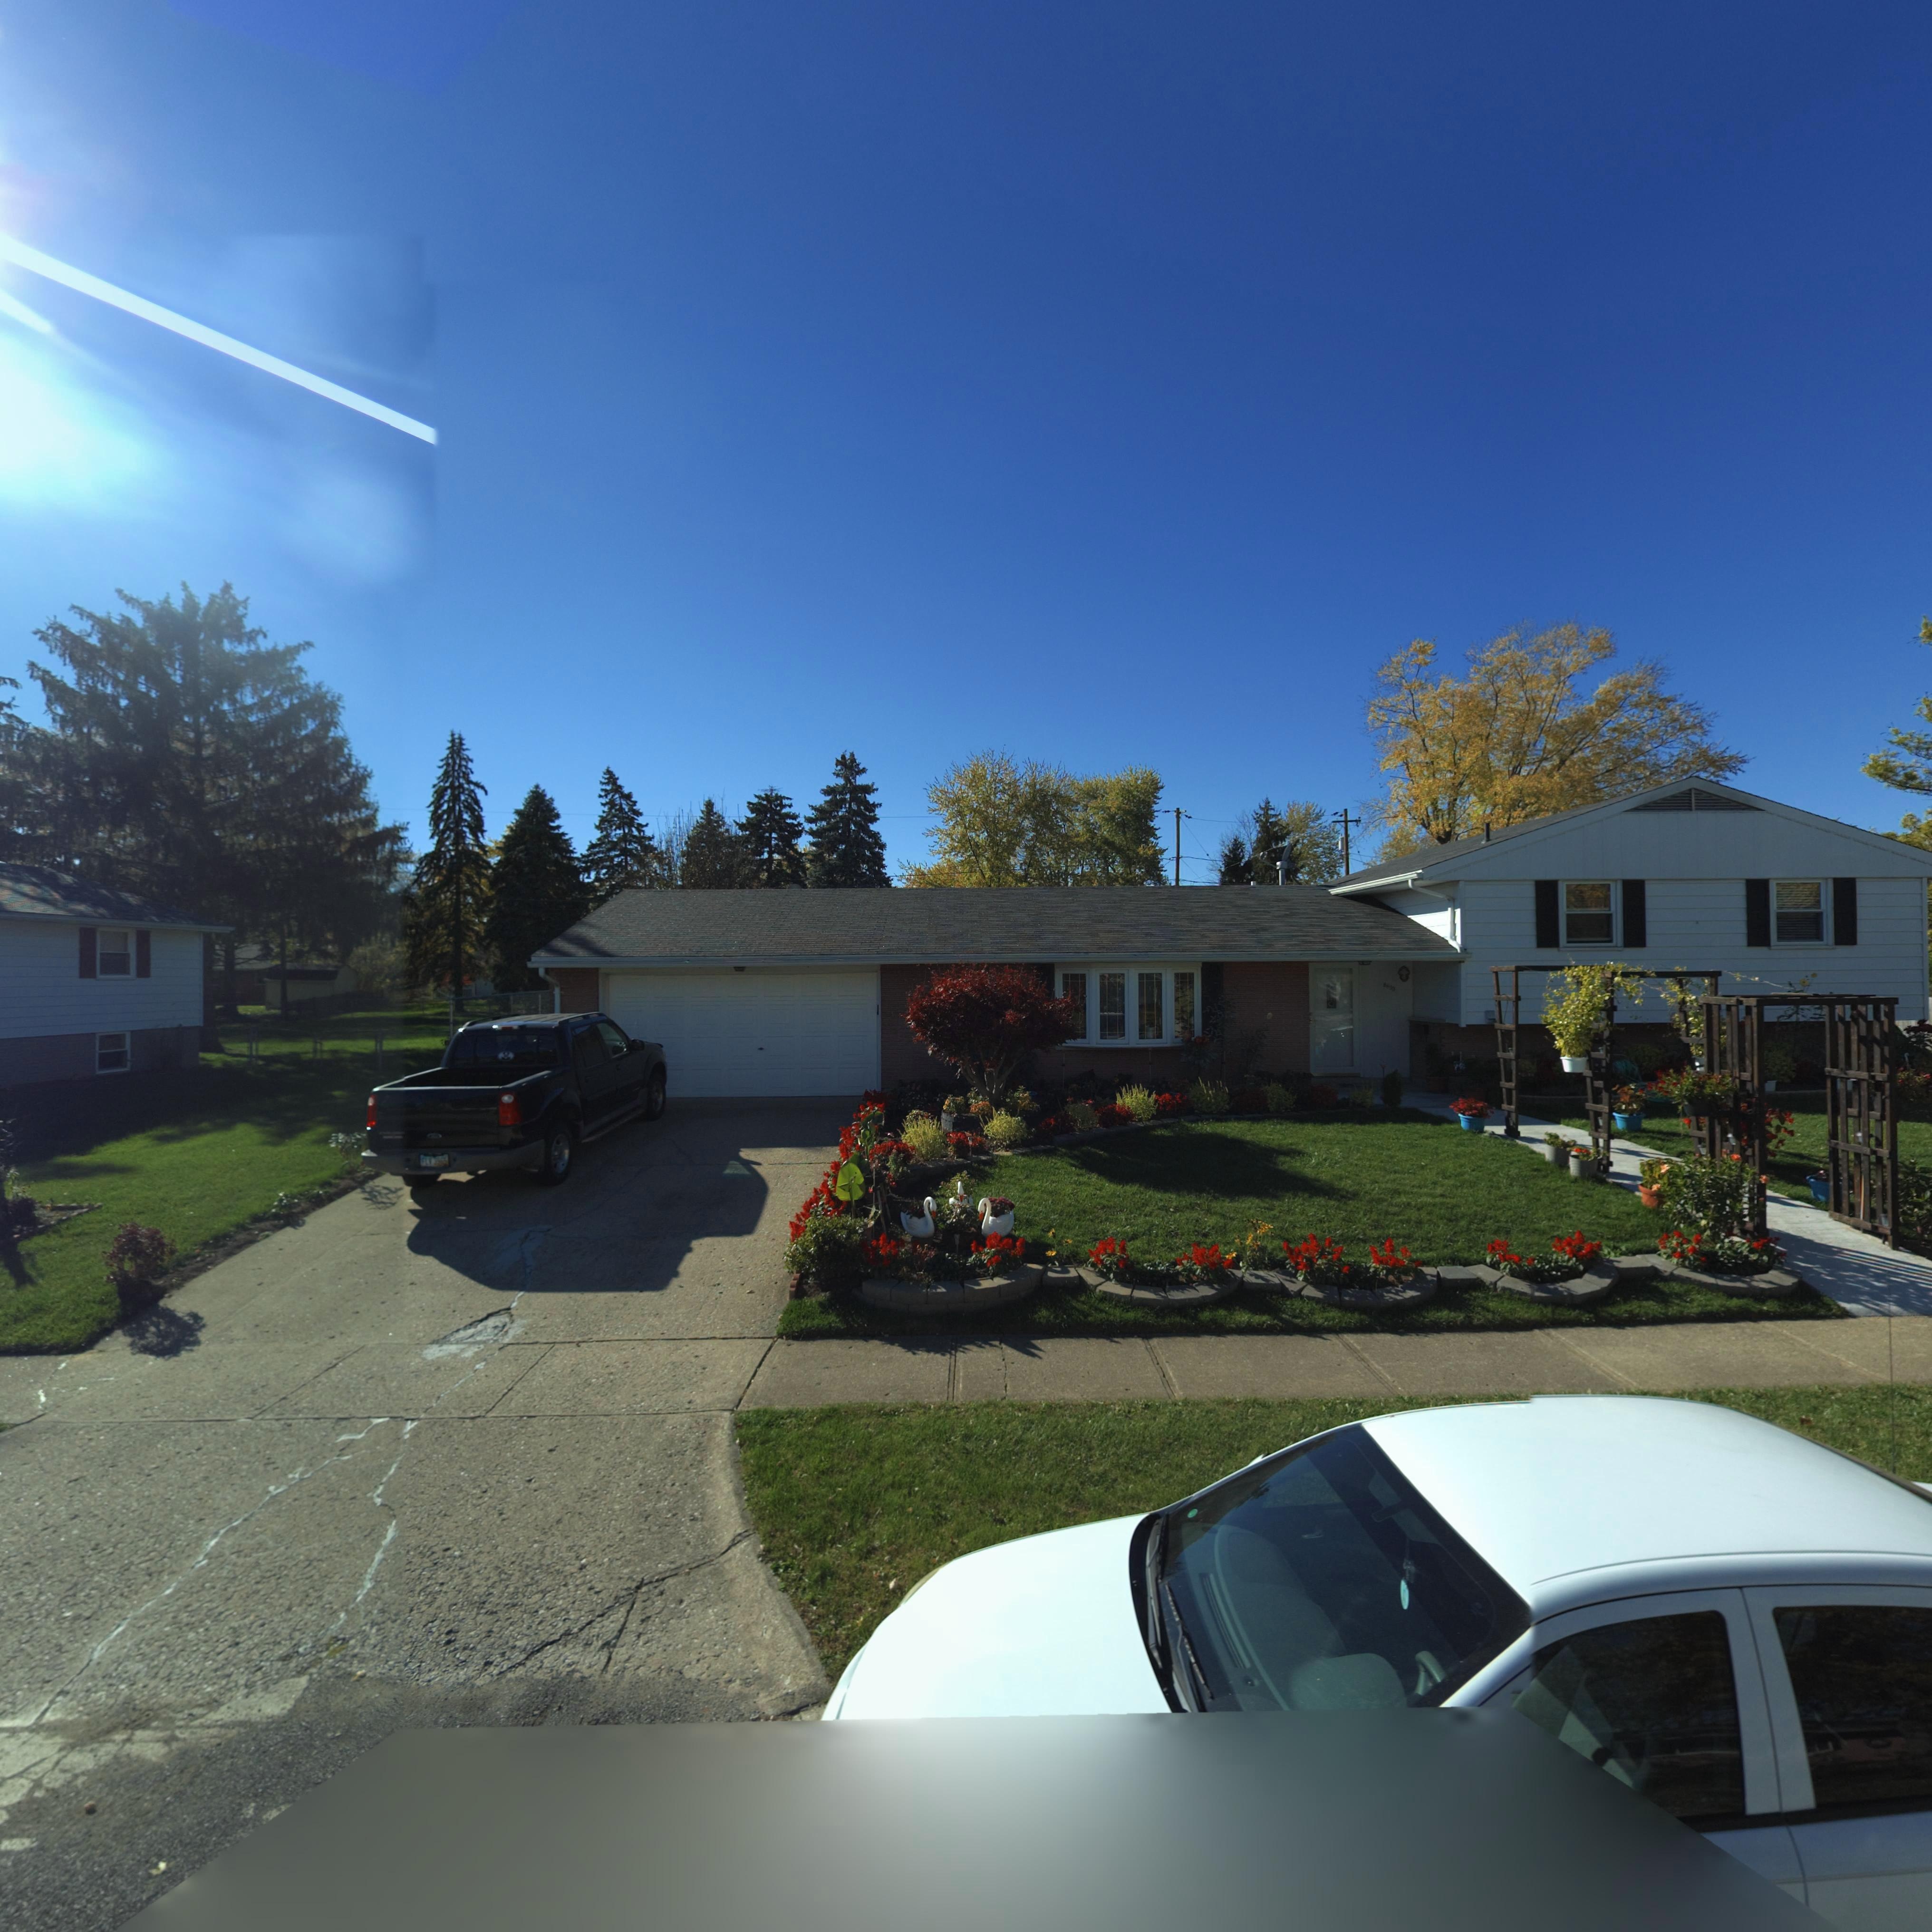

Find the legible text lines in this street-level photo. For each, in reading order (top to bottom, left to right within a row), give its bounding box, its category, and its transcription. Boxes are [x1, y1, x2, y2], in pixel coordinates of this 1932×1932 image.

[1382, 982, 1396, 992] StreetNumber: 6833
[421, 1157, 433, 1166] None: FLV